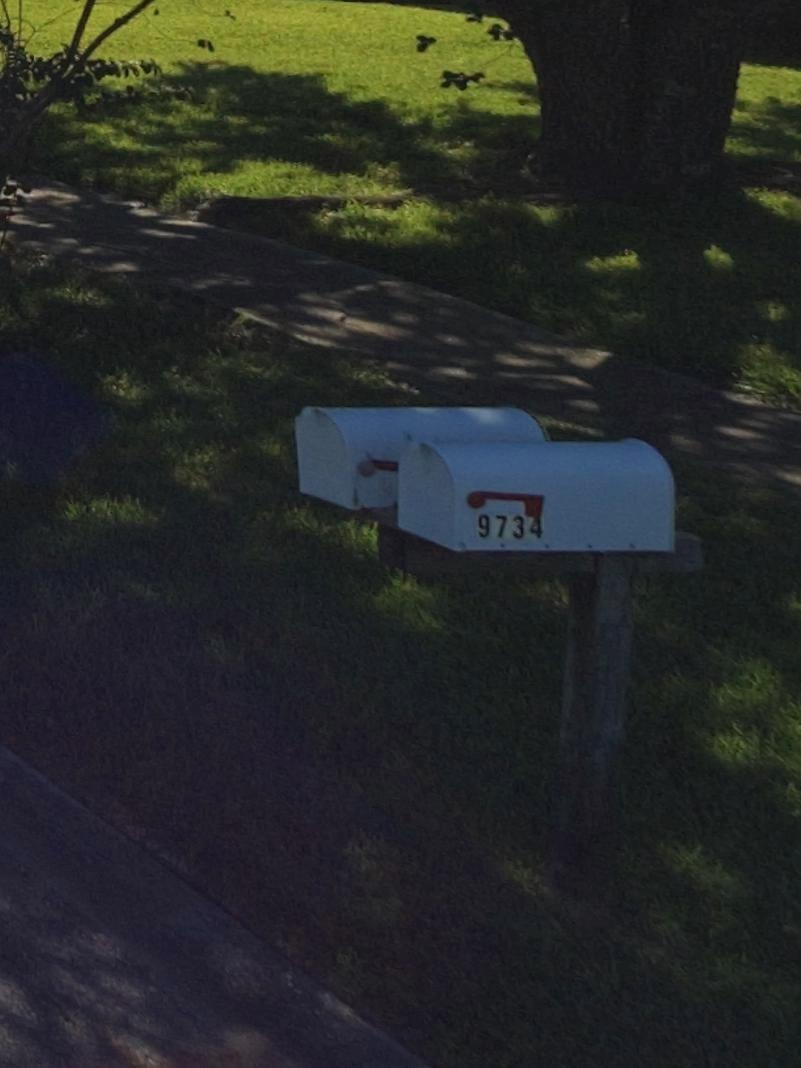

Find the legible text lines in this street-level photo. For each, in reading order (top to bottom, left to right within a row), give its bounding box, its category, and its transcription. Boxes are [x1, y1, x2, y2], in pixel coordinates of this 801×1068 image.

[476, 512, 545, 540] StreetNumber: 9734